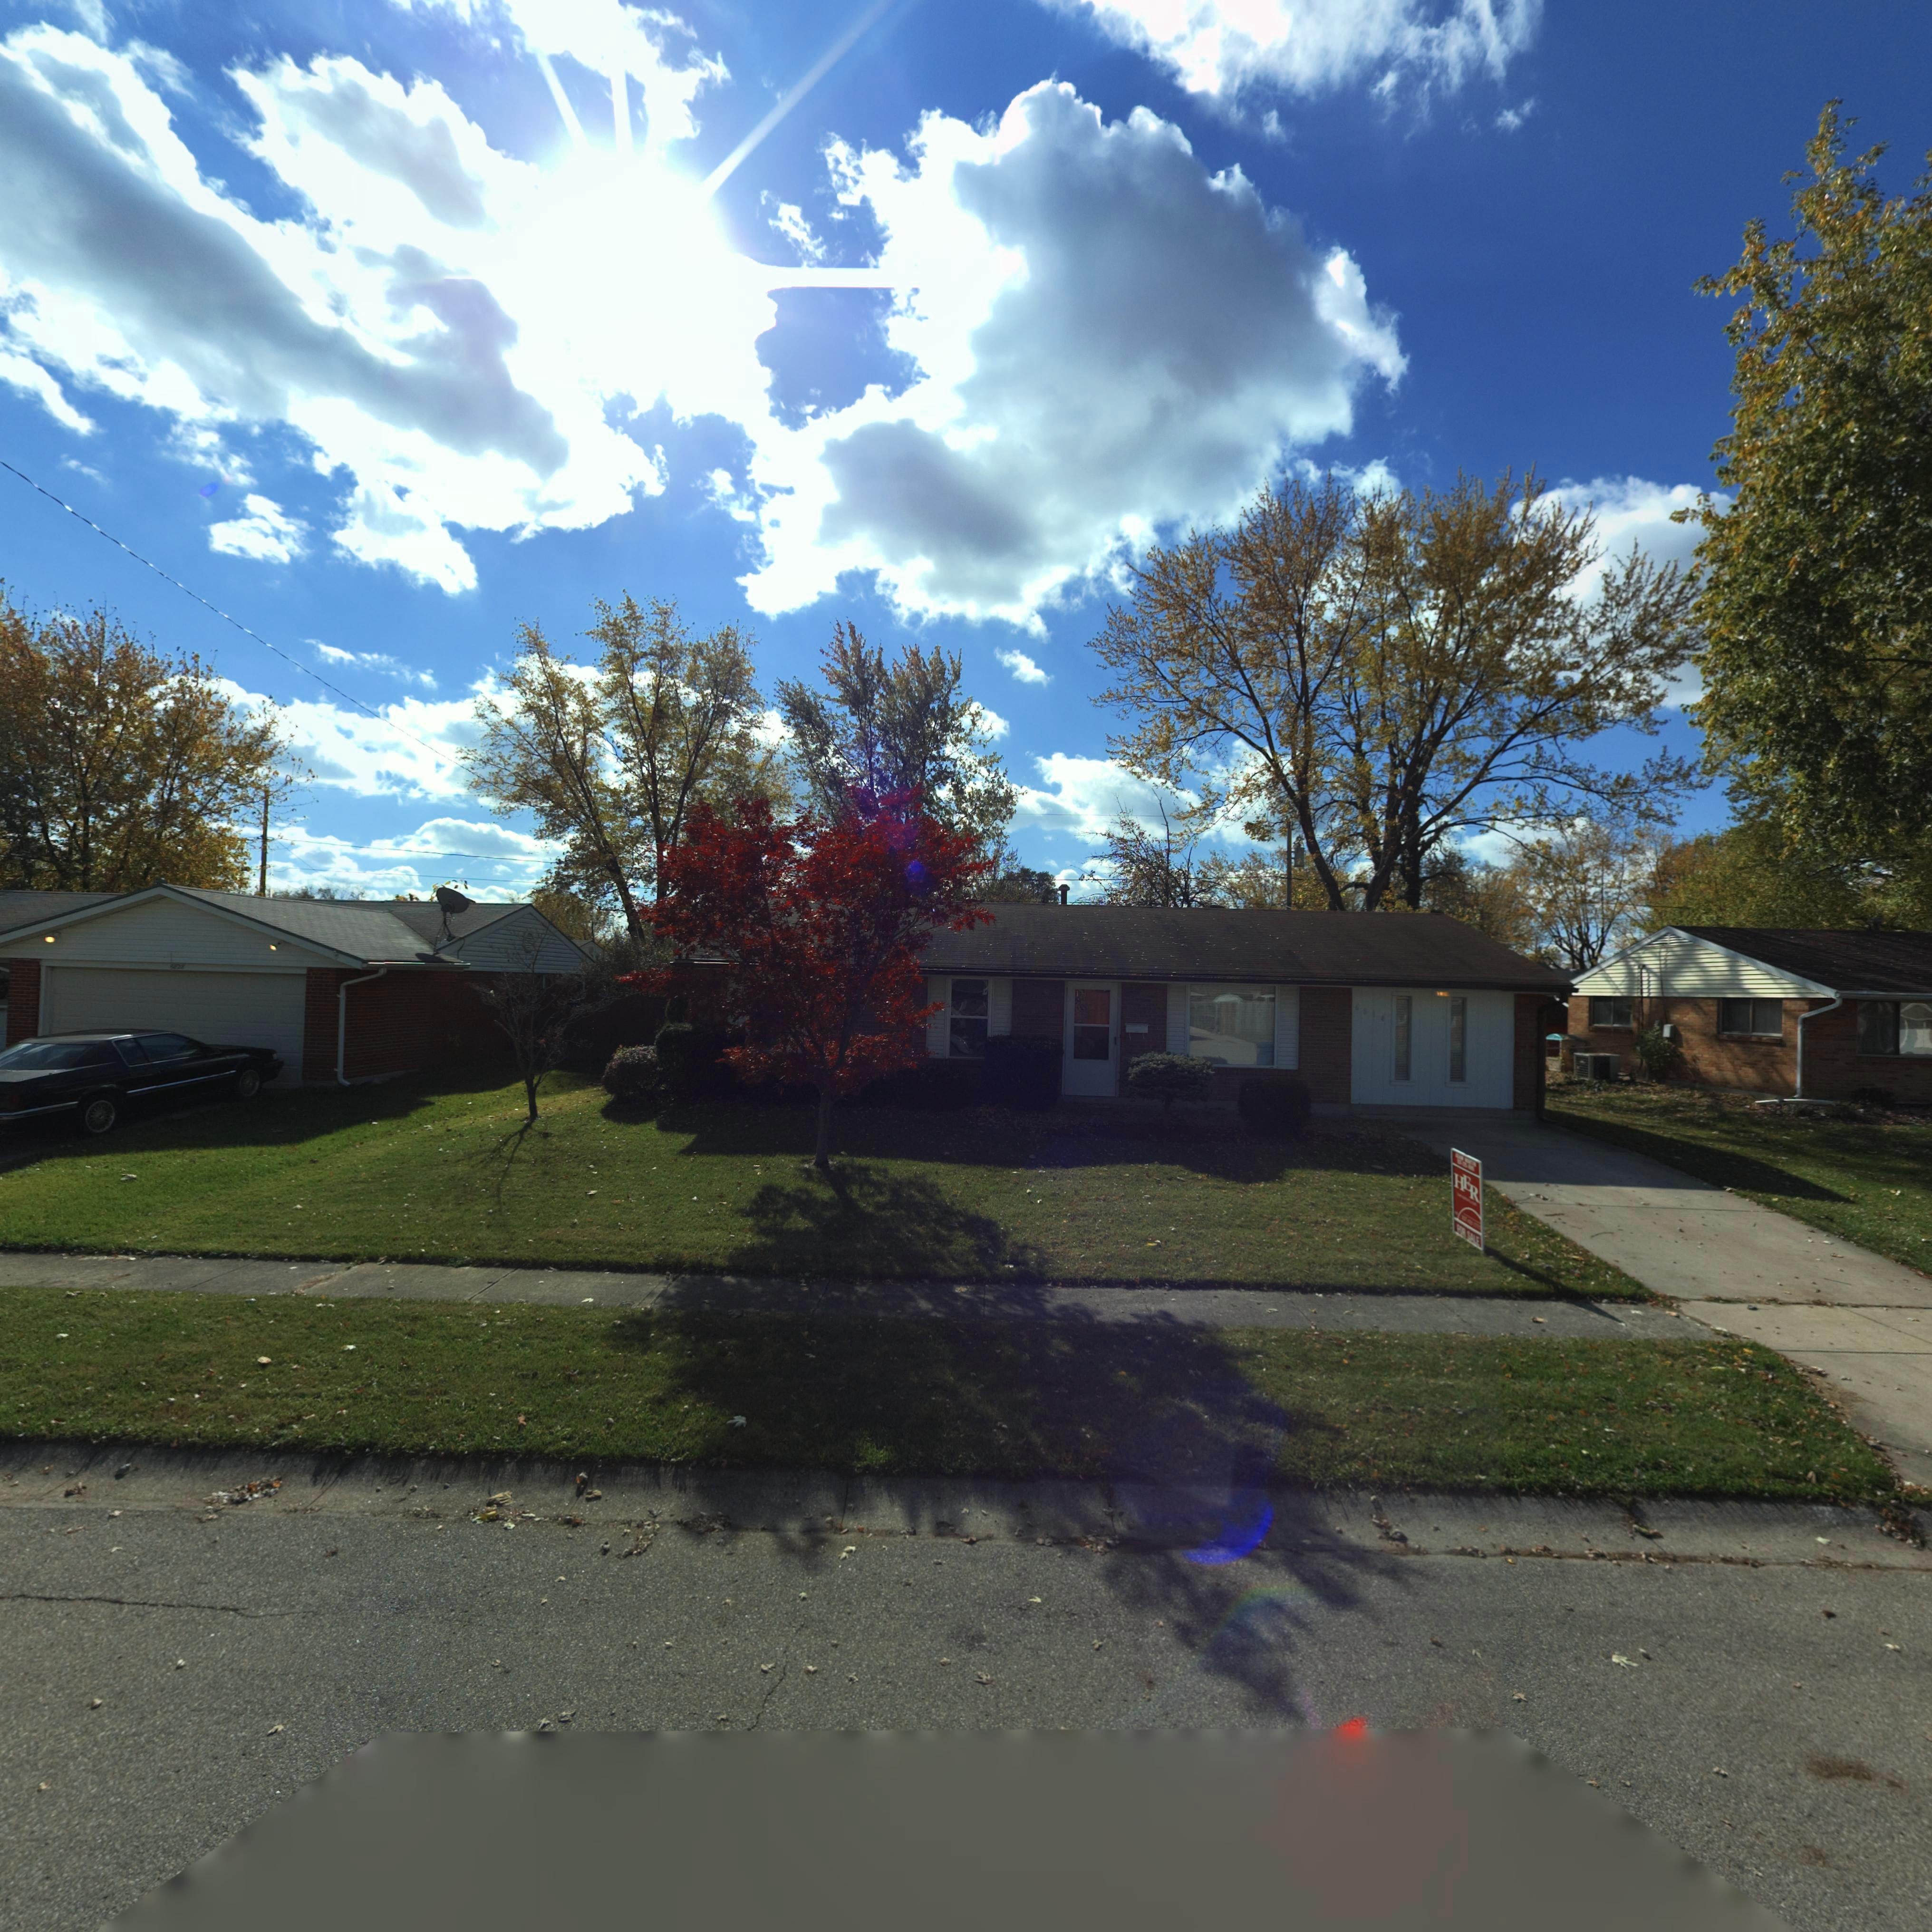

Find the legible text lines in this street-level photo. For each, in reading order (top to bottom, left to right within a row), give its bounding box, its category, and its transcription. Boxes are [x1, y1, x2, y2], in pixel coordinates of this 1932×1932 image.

[168, 962, 187, 970] StreetNumber: 6828
[1354, 1002, 1385, 1023] StreetNumber: 6814